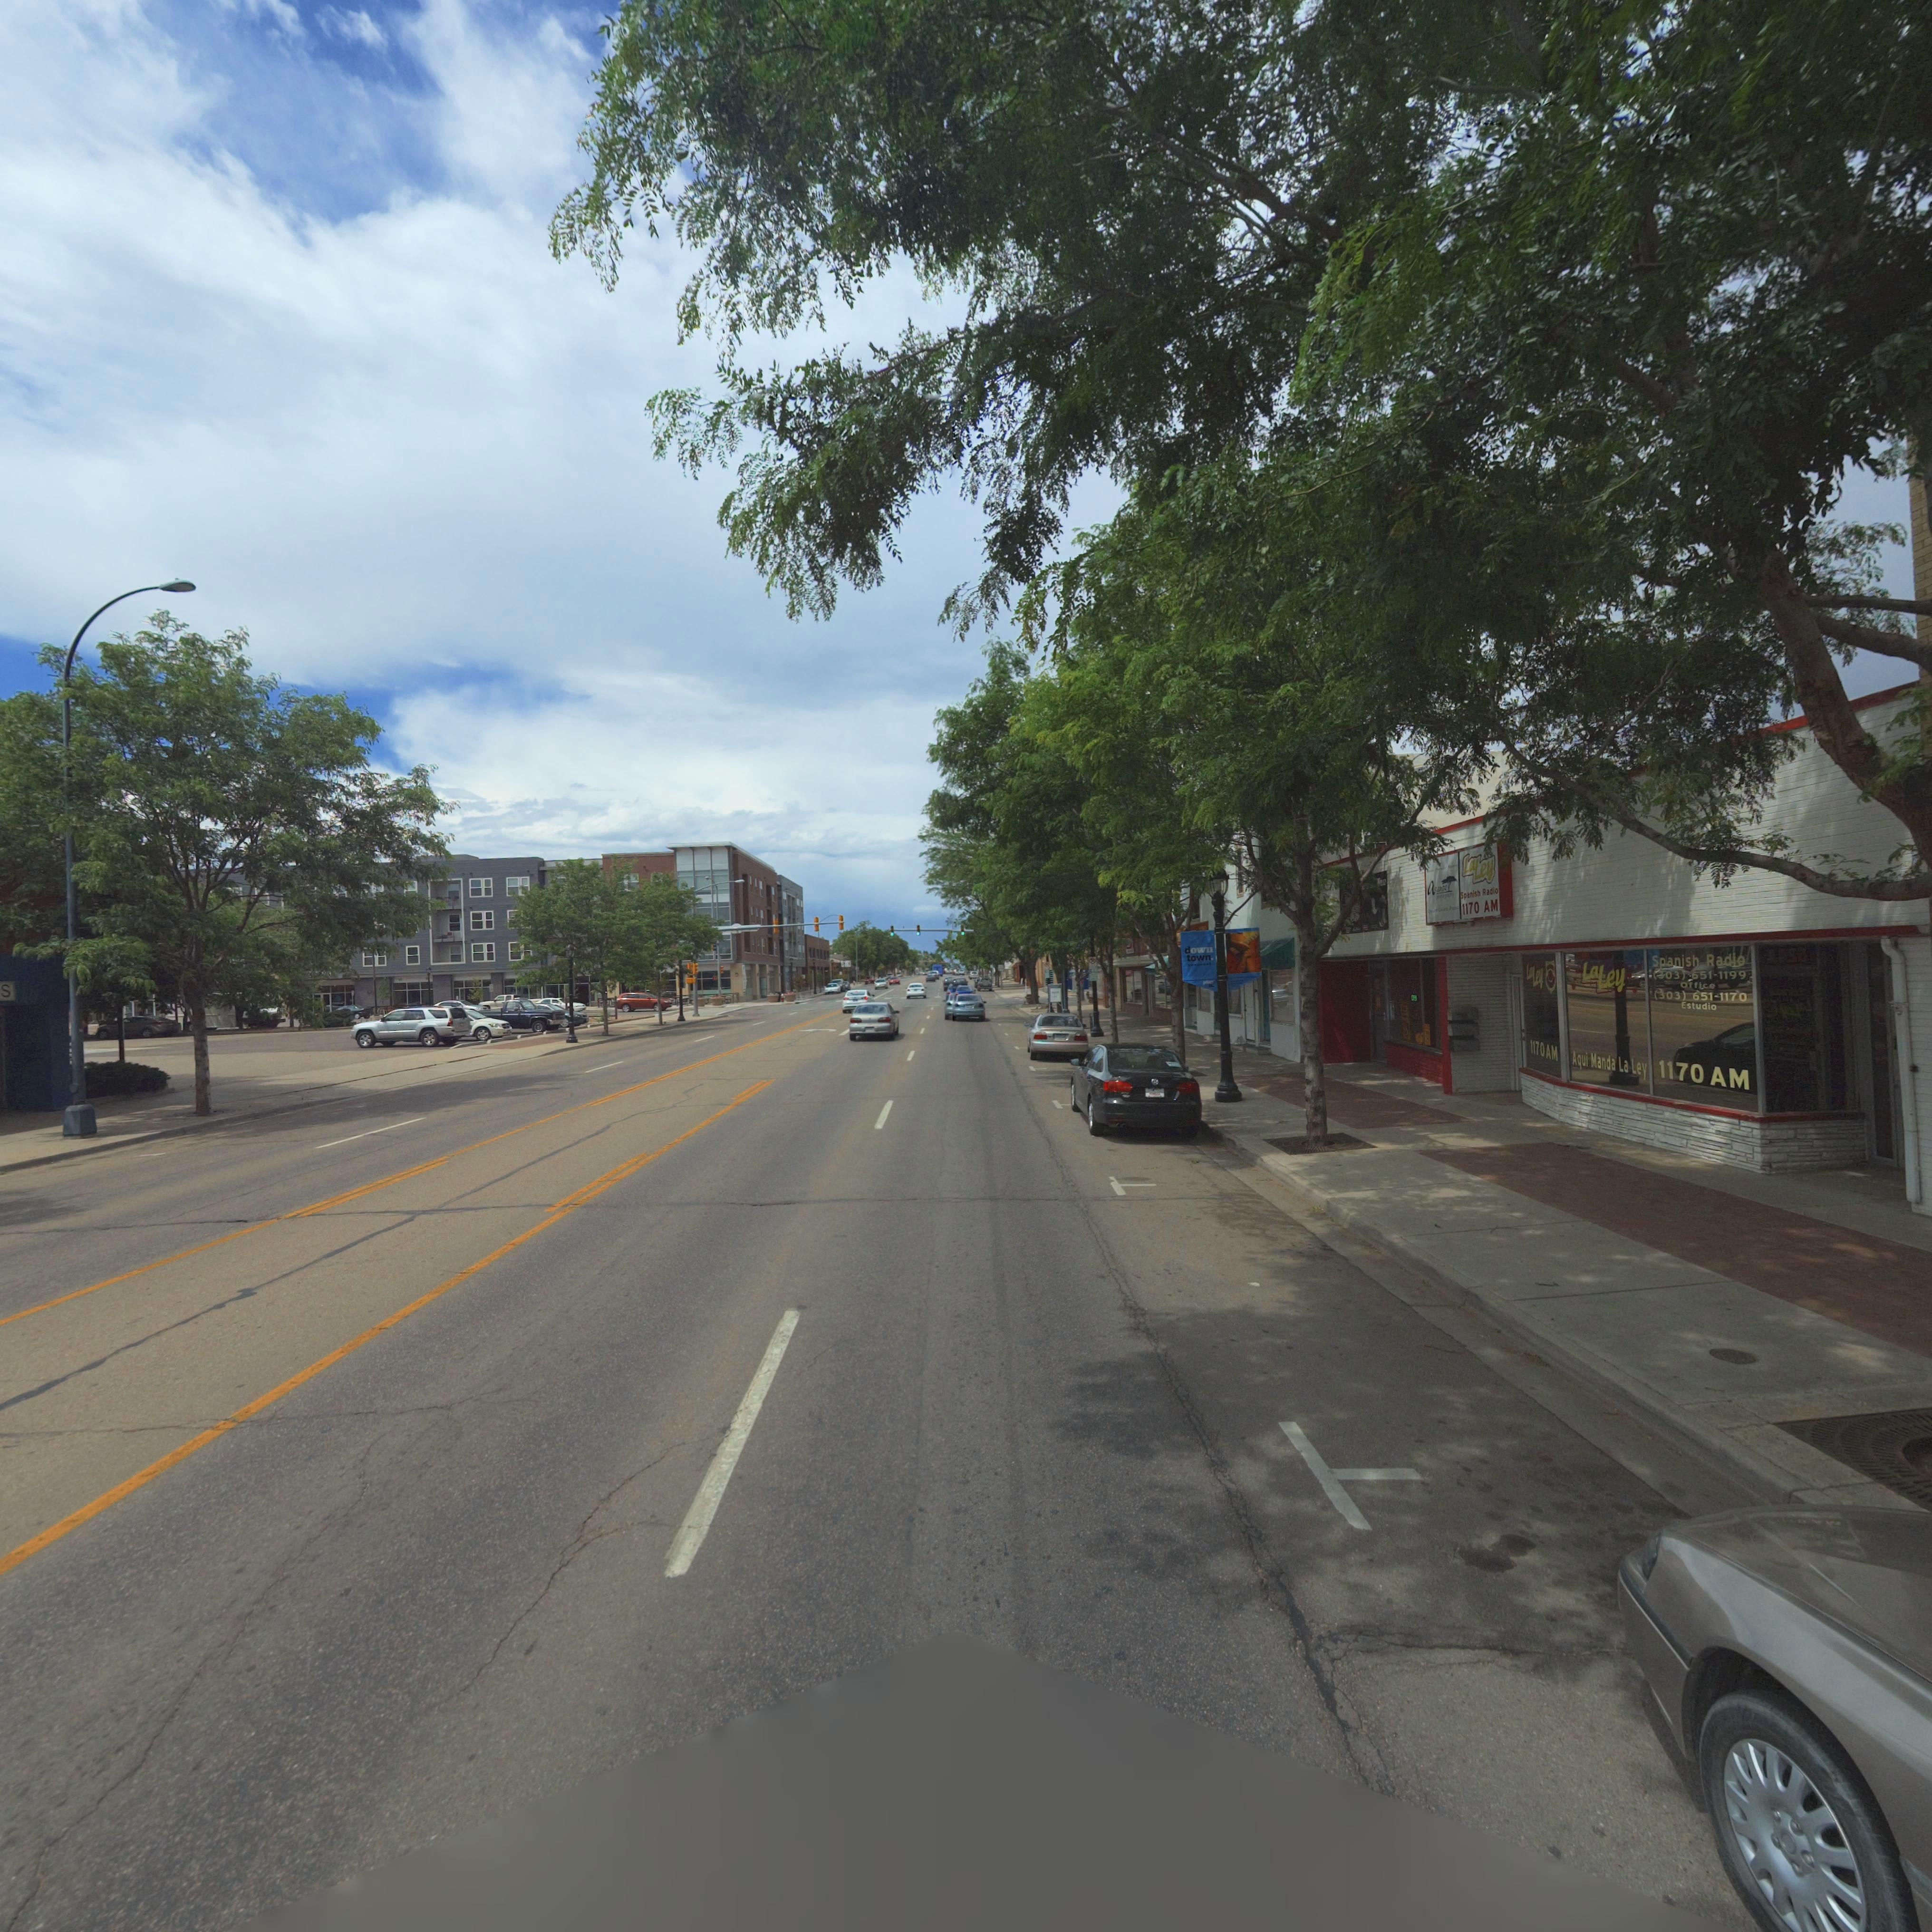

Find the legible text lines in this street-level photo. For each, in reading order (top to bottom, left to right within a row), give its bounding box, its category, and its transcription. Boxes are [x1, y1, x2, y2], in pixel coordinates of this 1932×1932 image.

[1464, 854, 1495, 883] BusinessName: LaLey
[1426, 879, 1447, 896] BusinessName: as***e
[1526, 959, 1545, 990] BusinessName: LaLey
[1581, 960, 1626, 994] BusinessName: LaLey